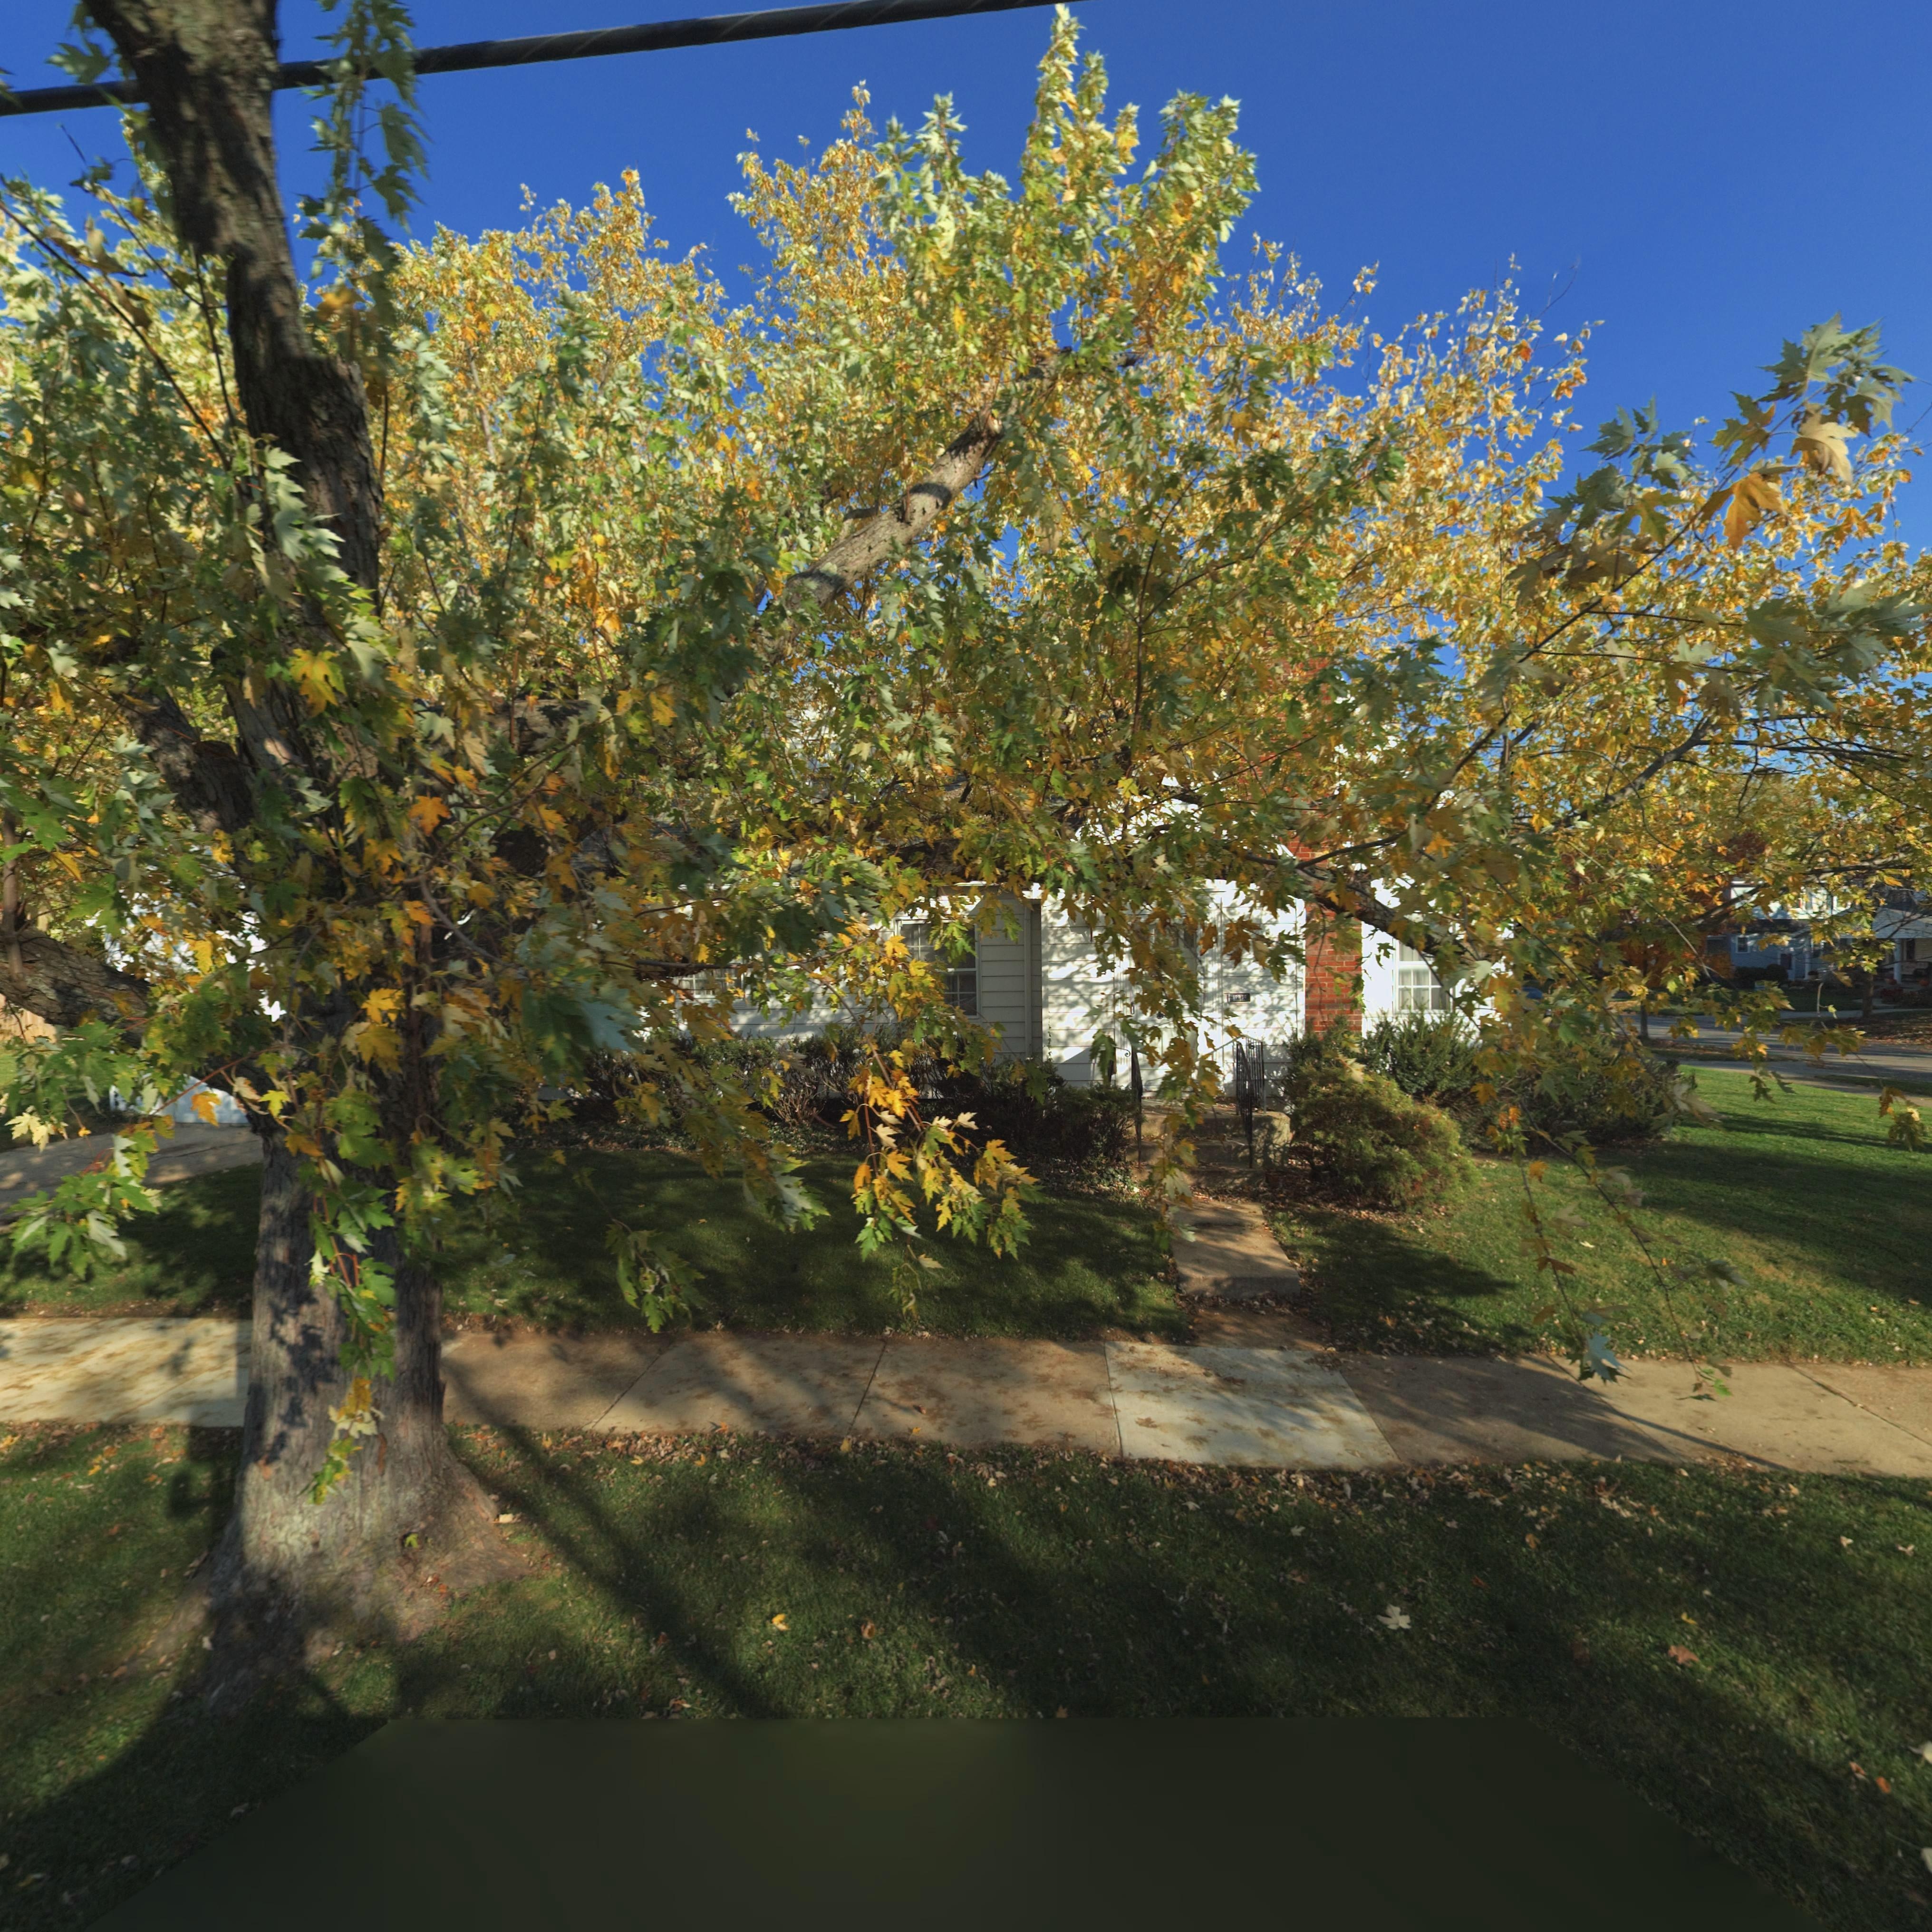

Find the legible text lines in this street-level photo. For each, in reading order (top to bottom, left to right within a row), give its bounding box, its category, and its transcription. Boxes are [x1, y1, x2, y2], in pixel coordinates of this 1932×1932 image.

[1235, 995, 1246, 1002] StreetNumber: *1*